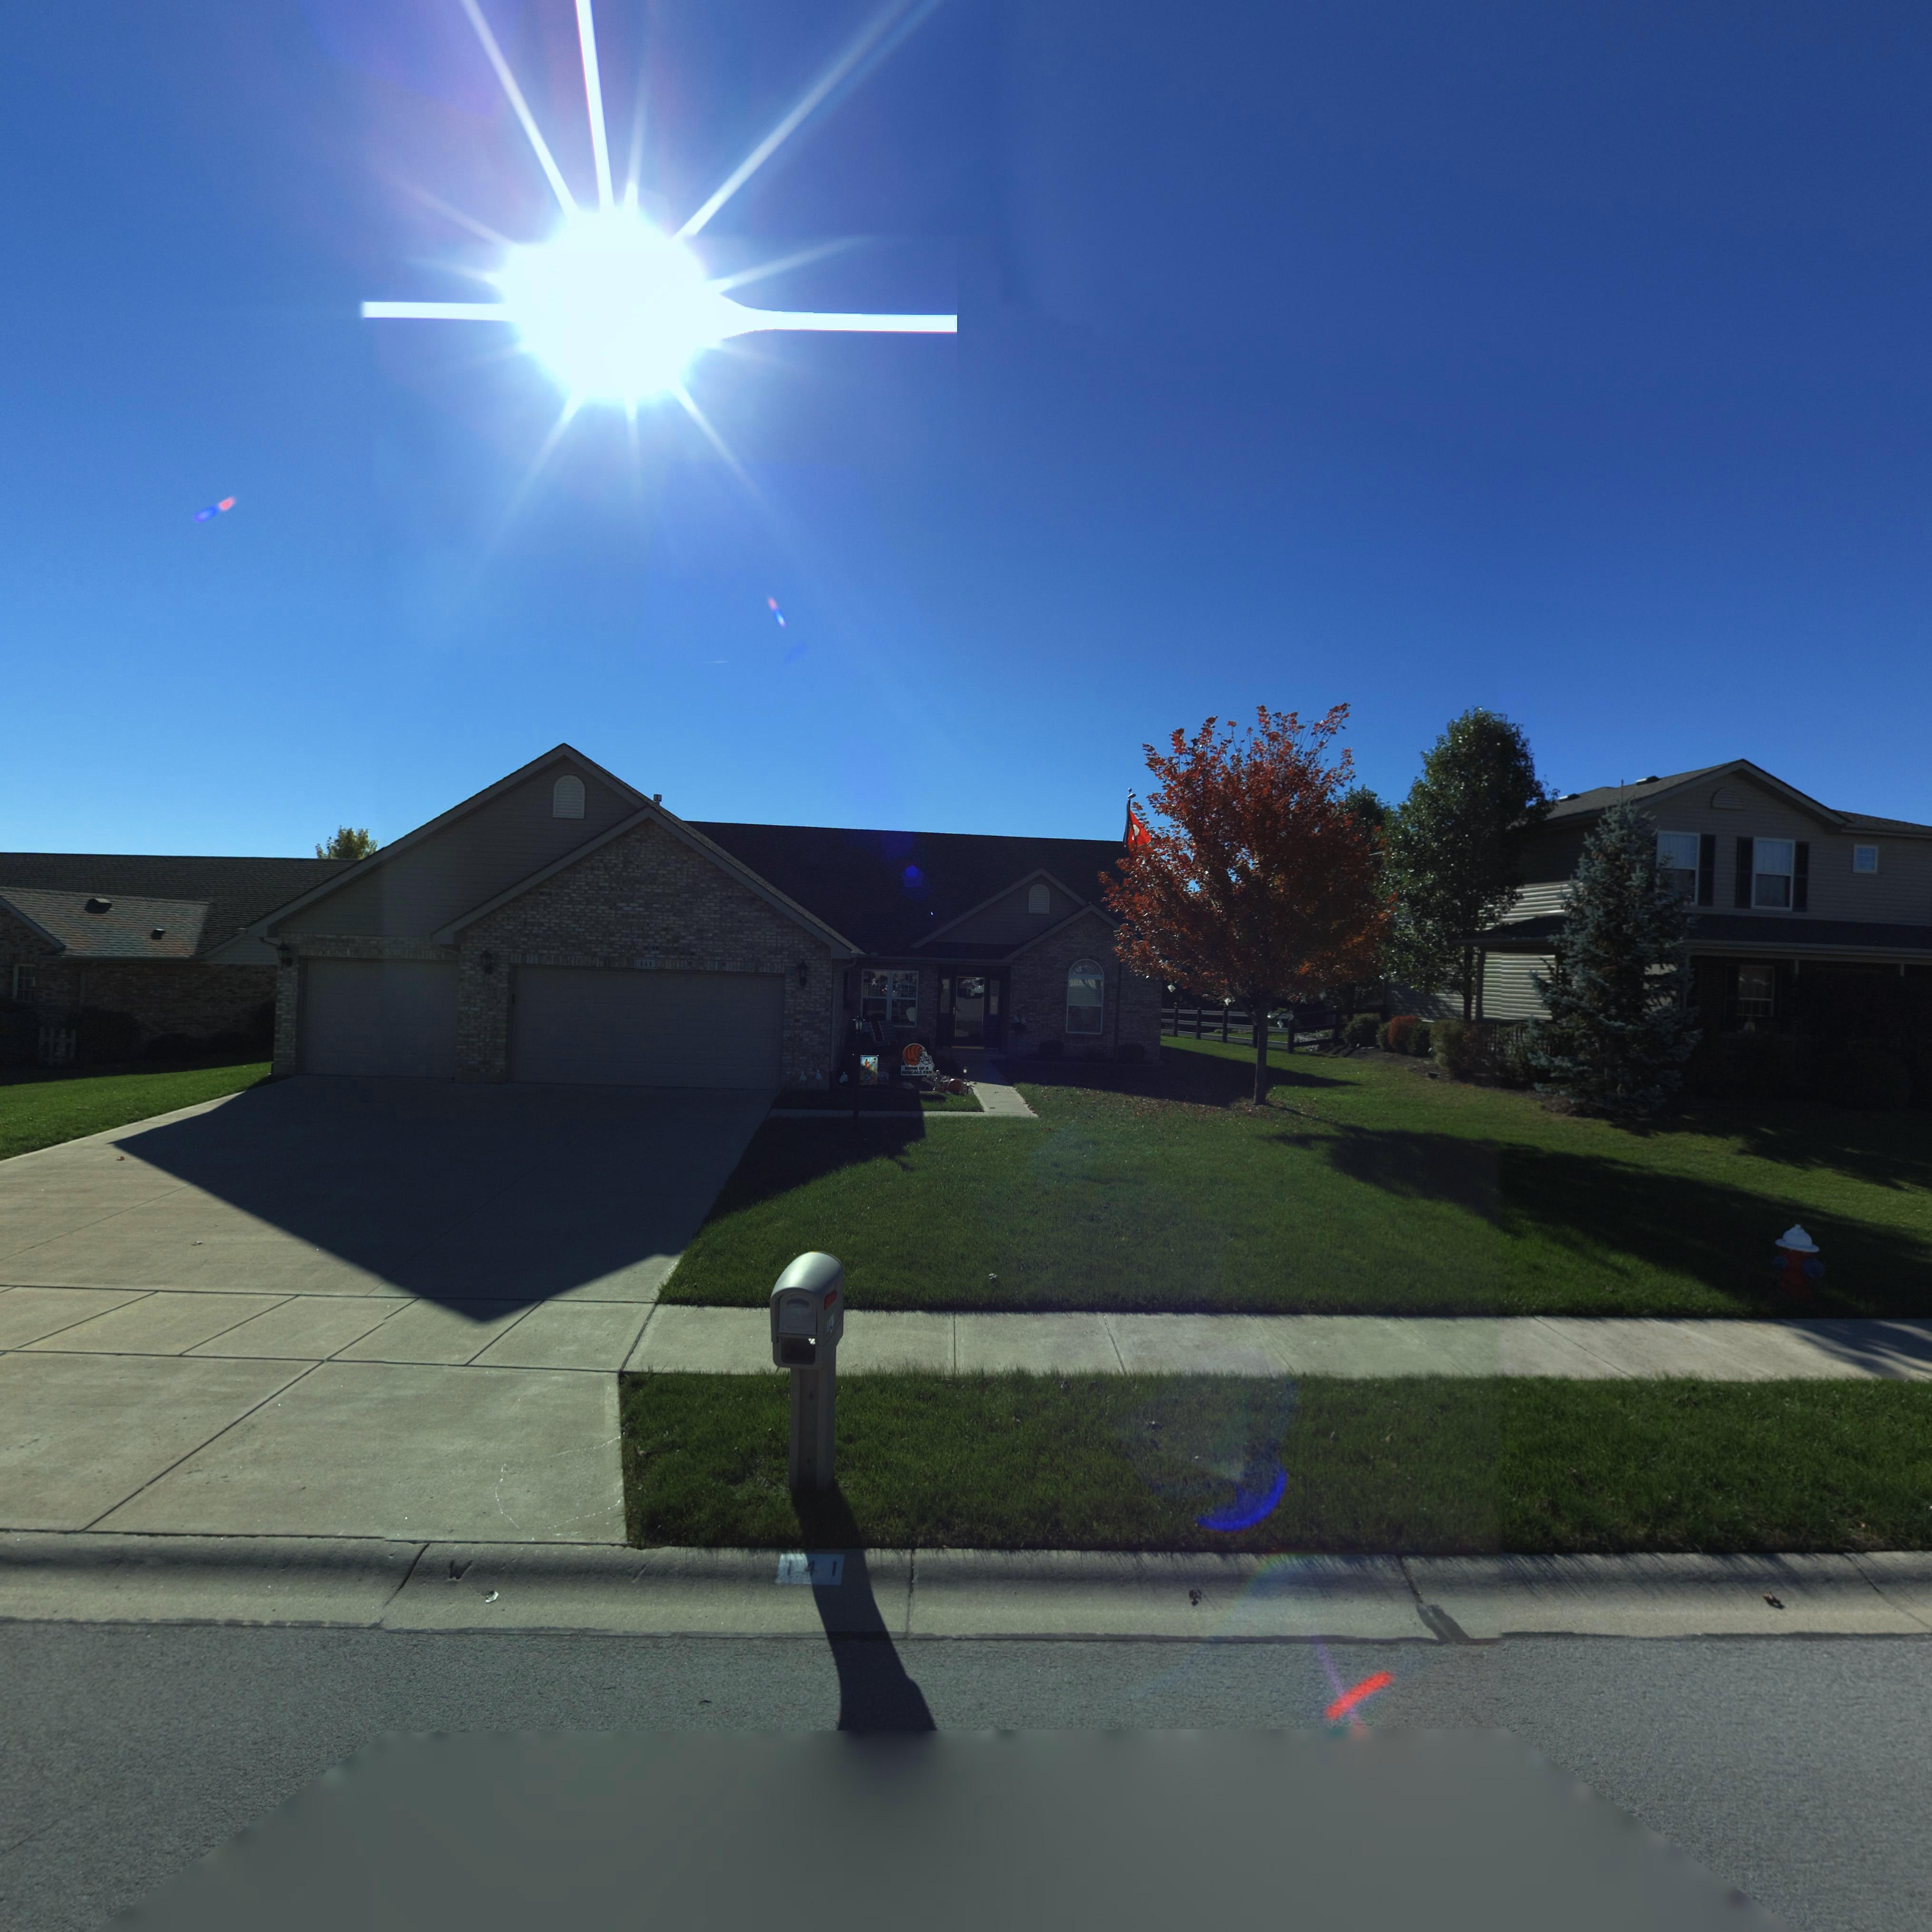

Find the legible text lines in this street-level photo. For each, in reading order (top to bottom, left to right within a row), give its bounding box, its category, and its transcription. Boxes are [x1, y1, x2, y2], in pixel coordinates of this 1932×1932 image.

[639, 960, 653, 967] StreetNumber: 141
[900, 1069, 932, 1074] None: ******* FAN
[904, 1066, 929, 1070] None: **** ** *\
[826, 1316, 833, 1334] StreetNumber: 14
[785, 1558, 839, 1578] StreetNumber: 141